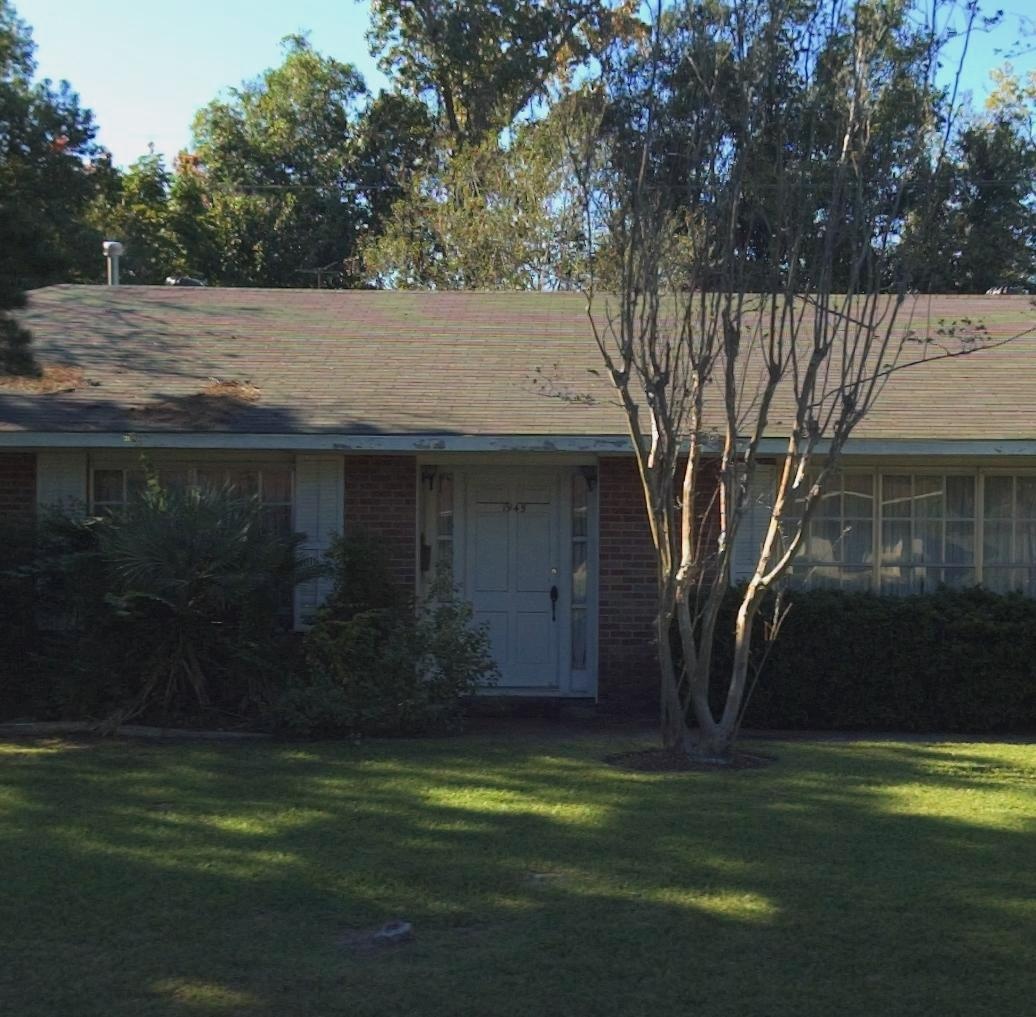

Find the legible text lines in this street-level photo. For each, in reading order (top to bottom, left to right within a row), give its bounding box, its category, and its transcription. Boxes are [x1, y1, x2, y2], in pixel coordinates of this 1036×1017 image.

[499, 500, 529, 516] StreetNumber: 1945